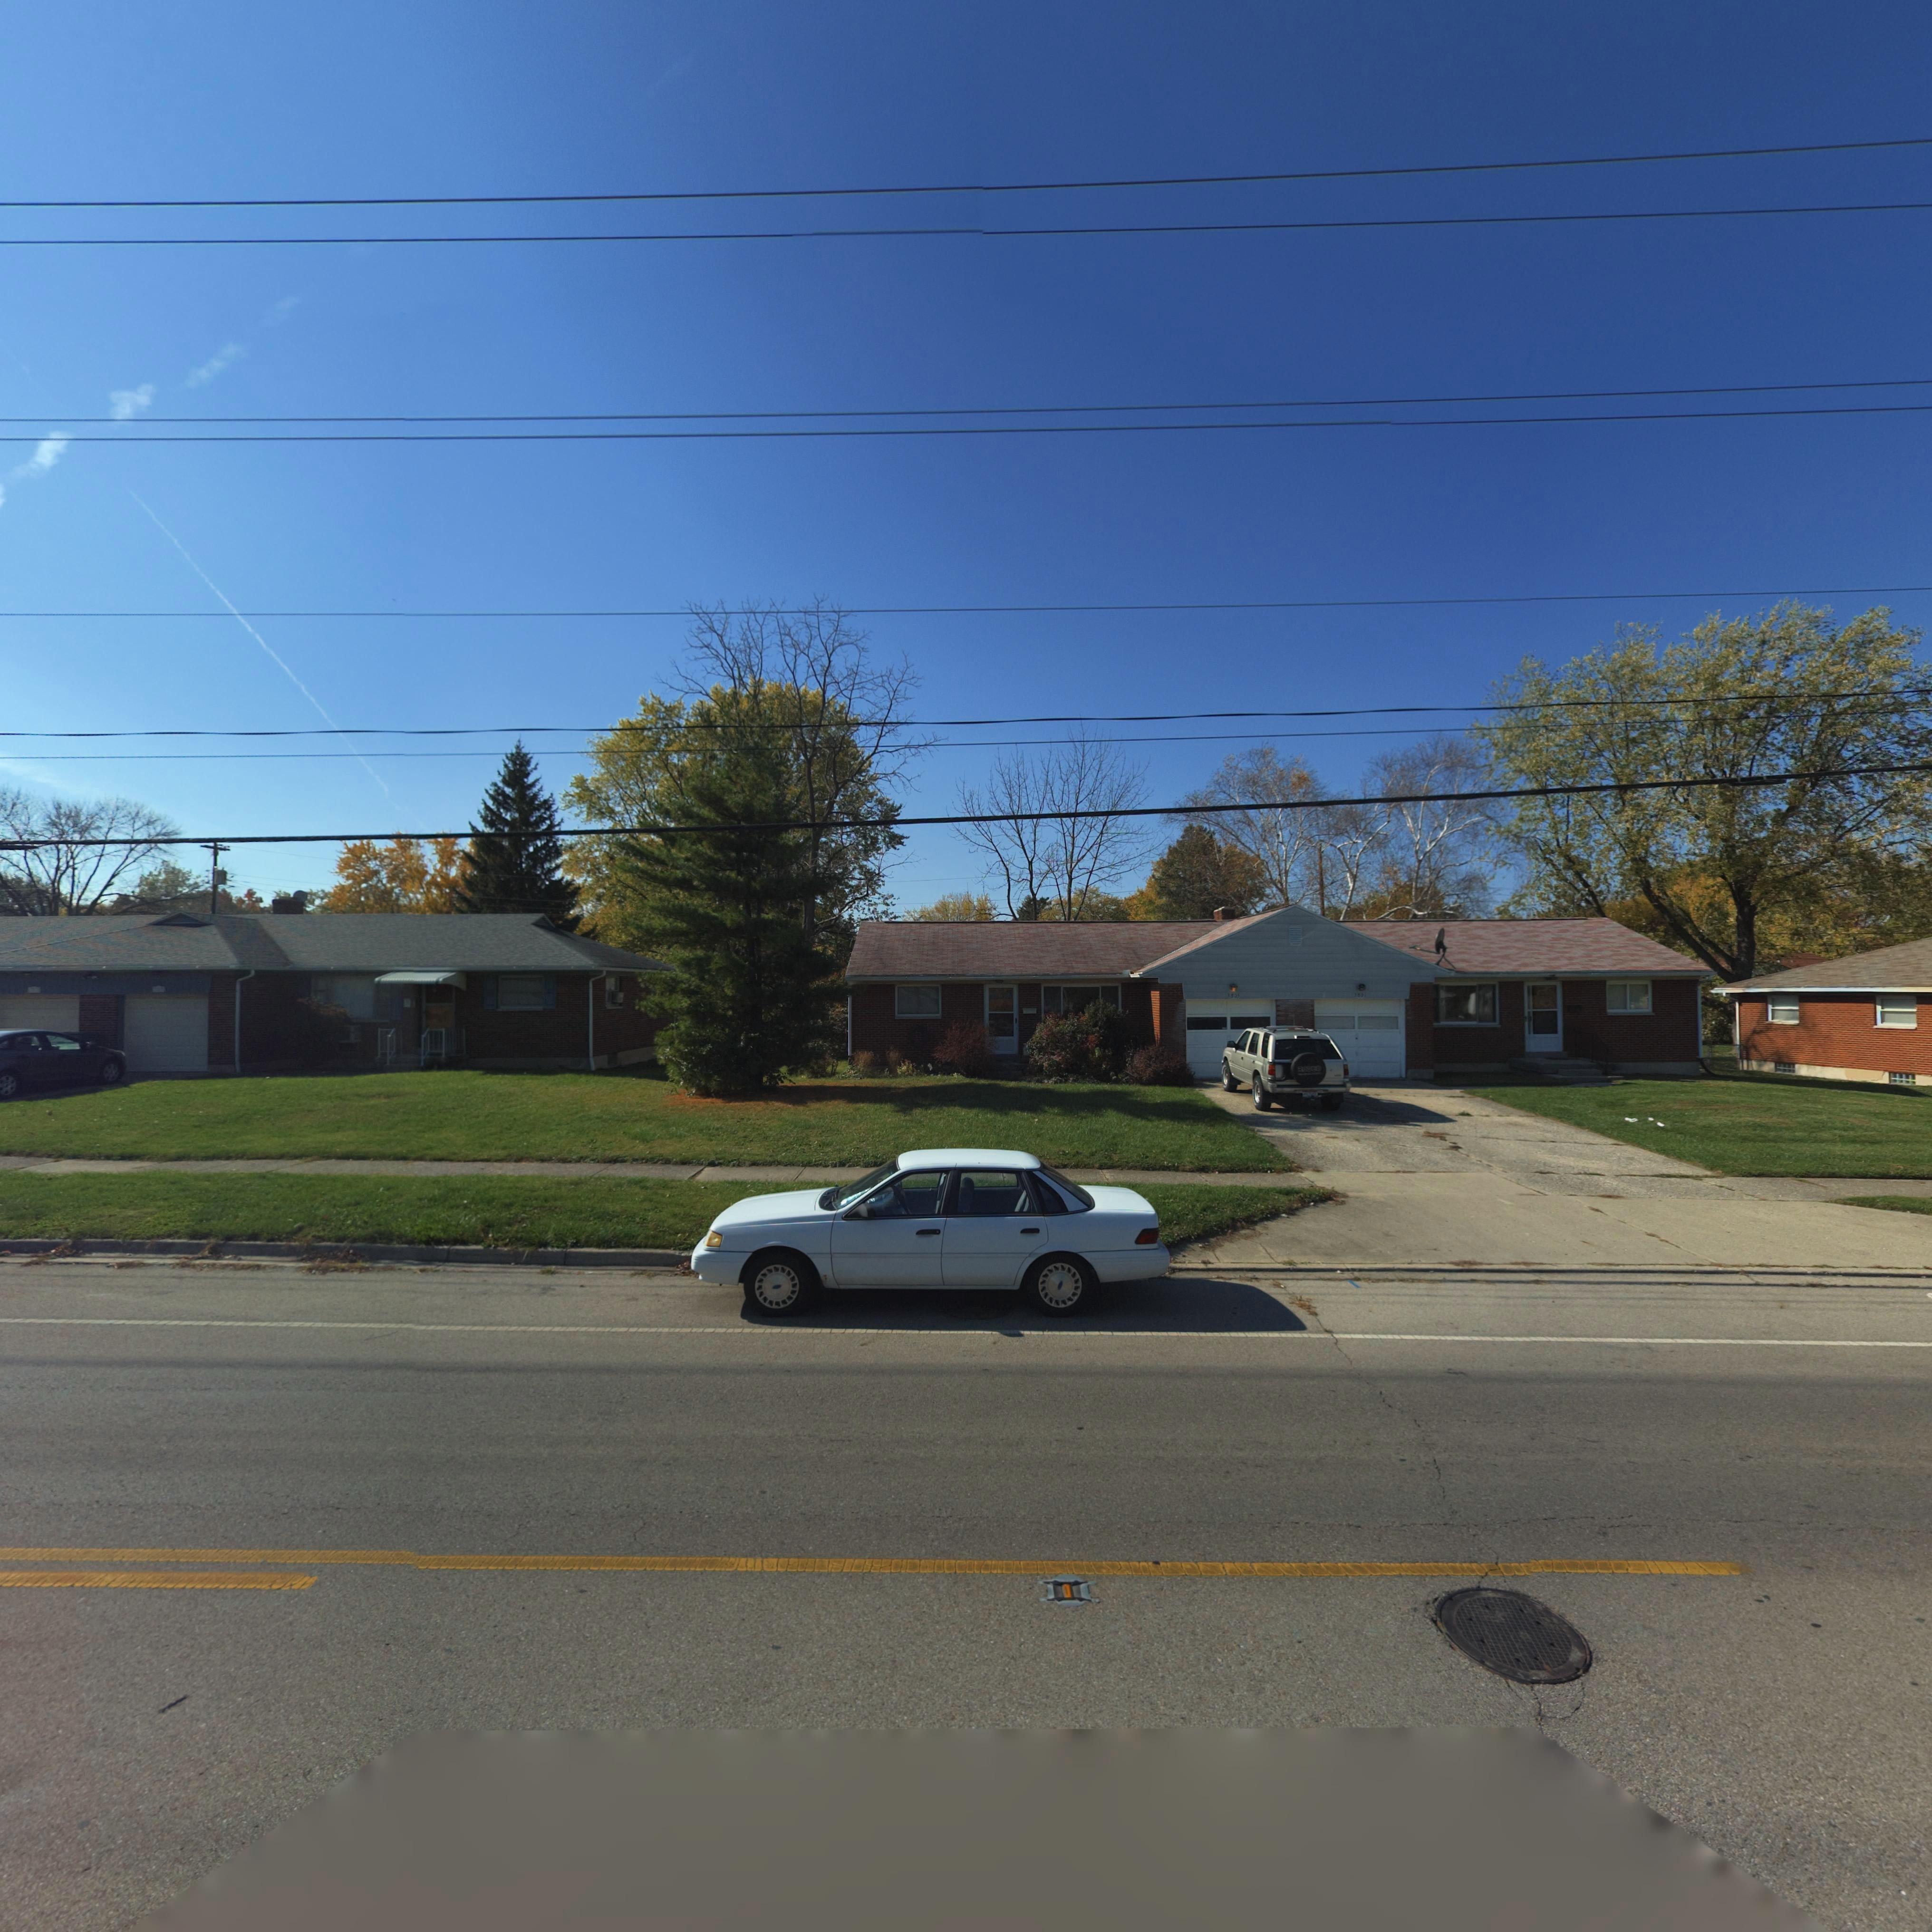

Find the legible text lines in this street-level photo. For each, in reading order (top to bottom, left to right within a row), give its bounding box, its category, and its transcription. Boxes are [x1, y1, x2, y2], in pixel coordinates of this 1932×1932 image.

[28, 987, 40, 993] StreetNumber: 3813
[153, 988, 164, 992] StreetNumber: 3809
[1226, 993, 1240, 998] StreetNumber: 3805
[1353, 992, 1367, 998] StreetNumber: 3801
[1297, 1065, 1321, 1072] None: RODEO